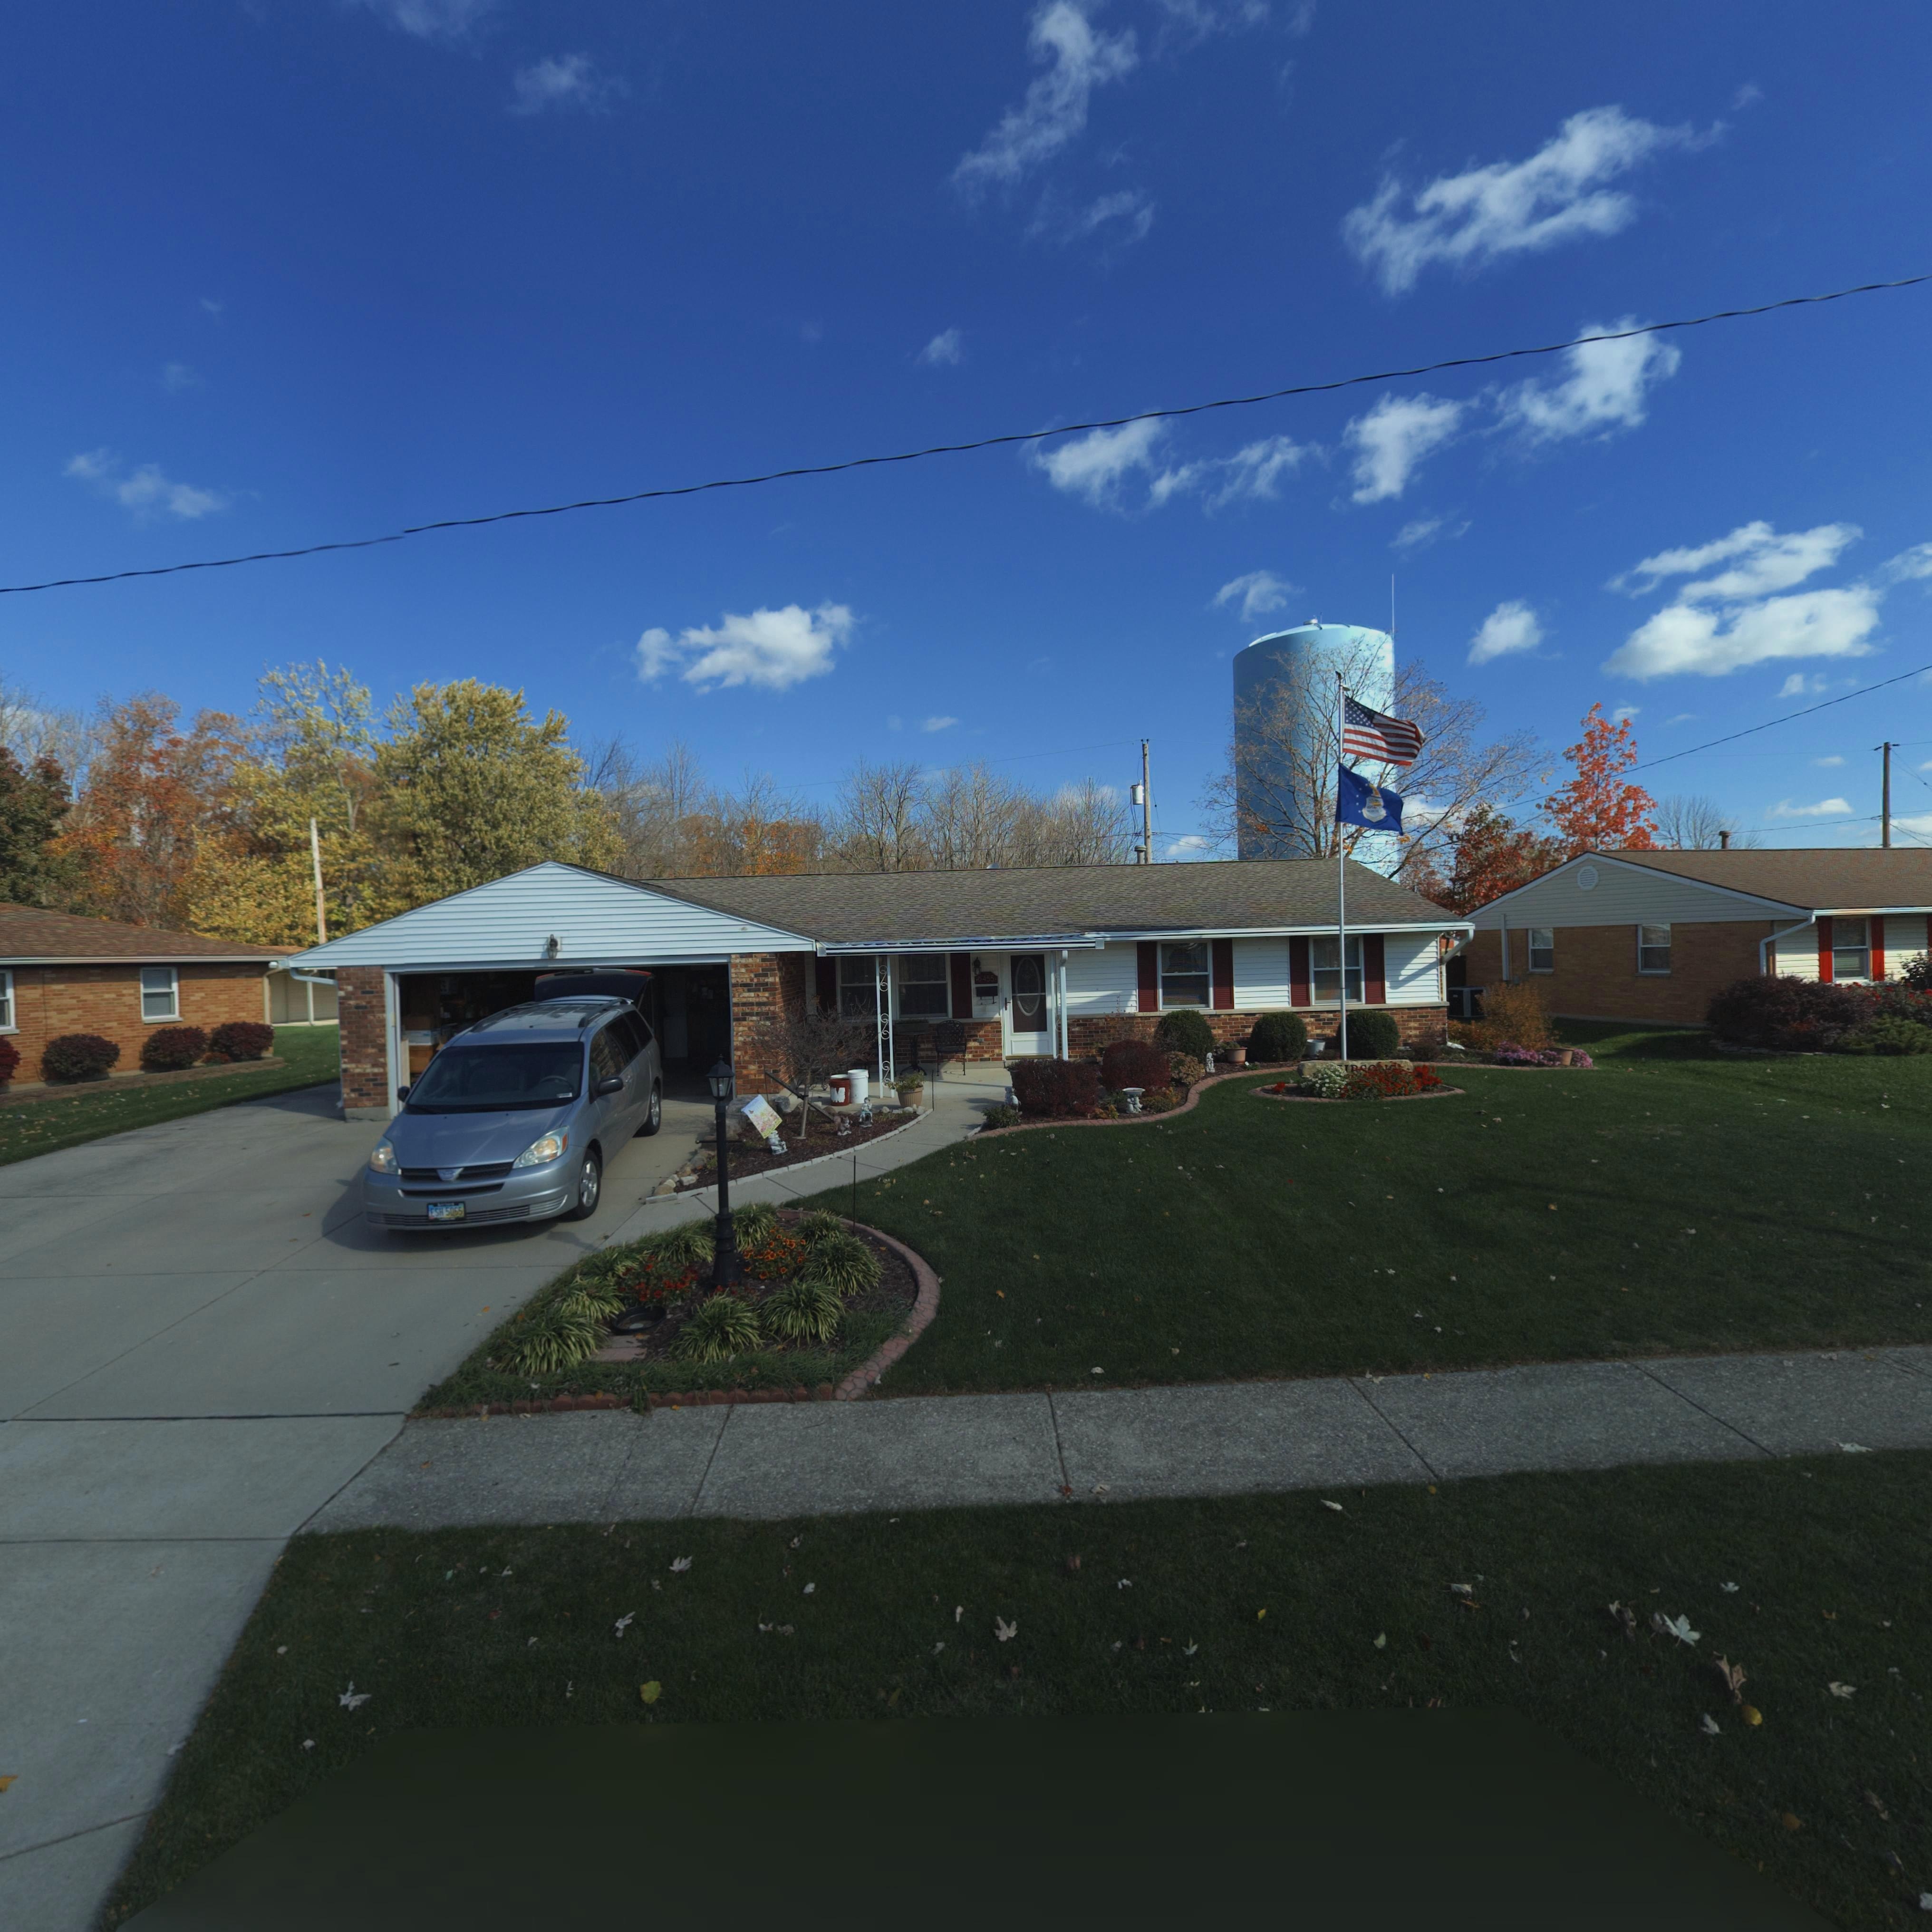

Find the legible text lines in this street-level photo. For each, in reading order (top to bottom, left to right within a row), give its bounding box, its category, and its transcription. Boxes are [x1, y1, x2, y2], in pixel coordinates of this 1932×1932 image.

[977, 975, 995, 983] StreetNumber: 6455